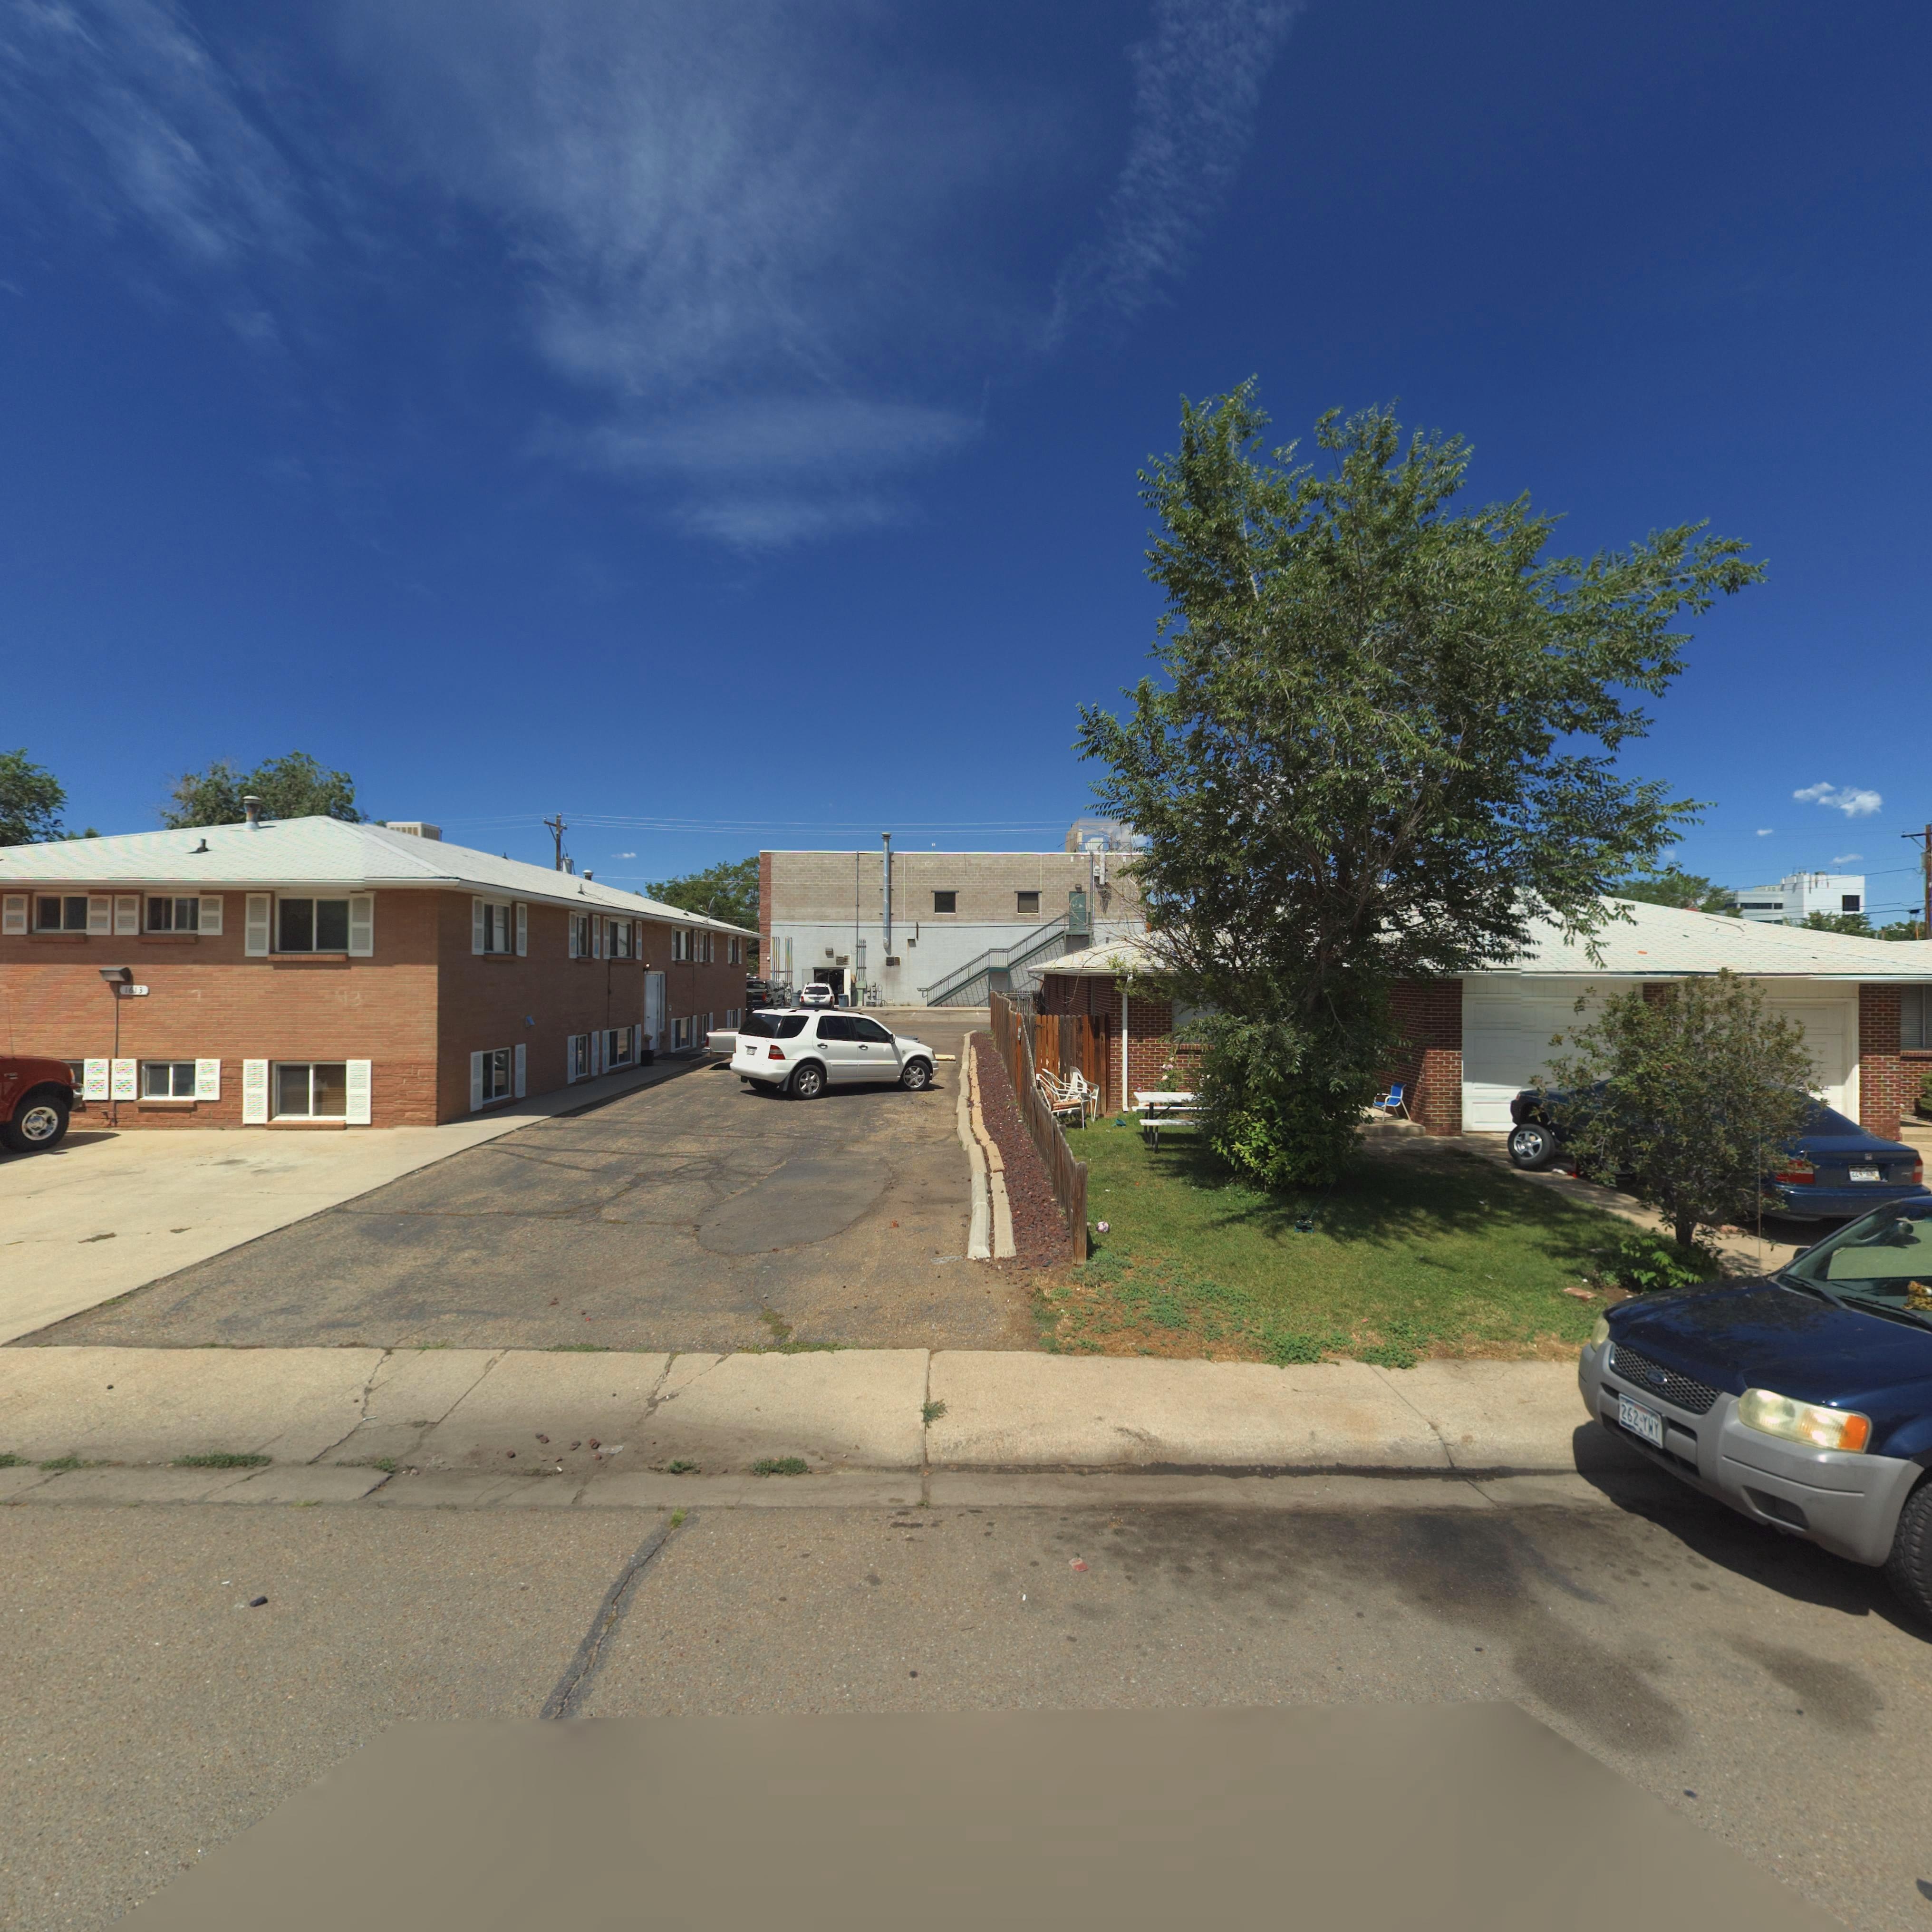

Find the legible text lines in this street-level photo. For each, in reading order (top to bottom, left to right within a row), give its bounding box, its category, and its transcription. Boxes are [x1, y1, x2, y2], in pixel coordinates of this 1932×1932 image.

[124, 985, 144, 994] StreetNumber: 1613